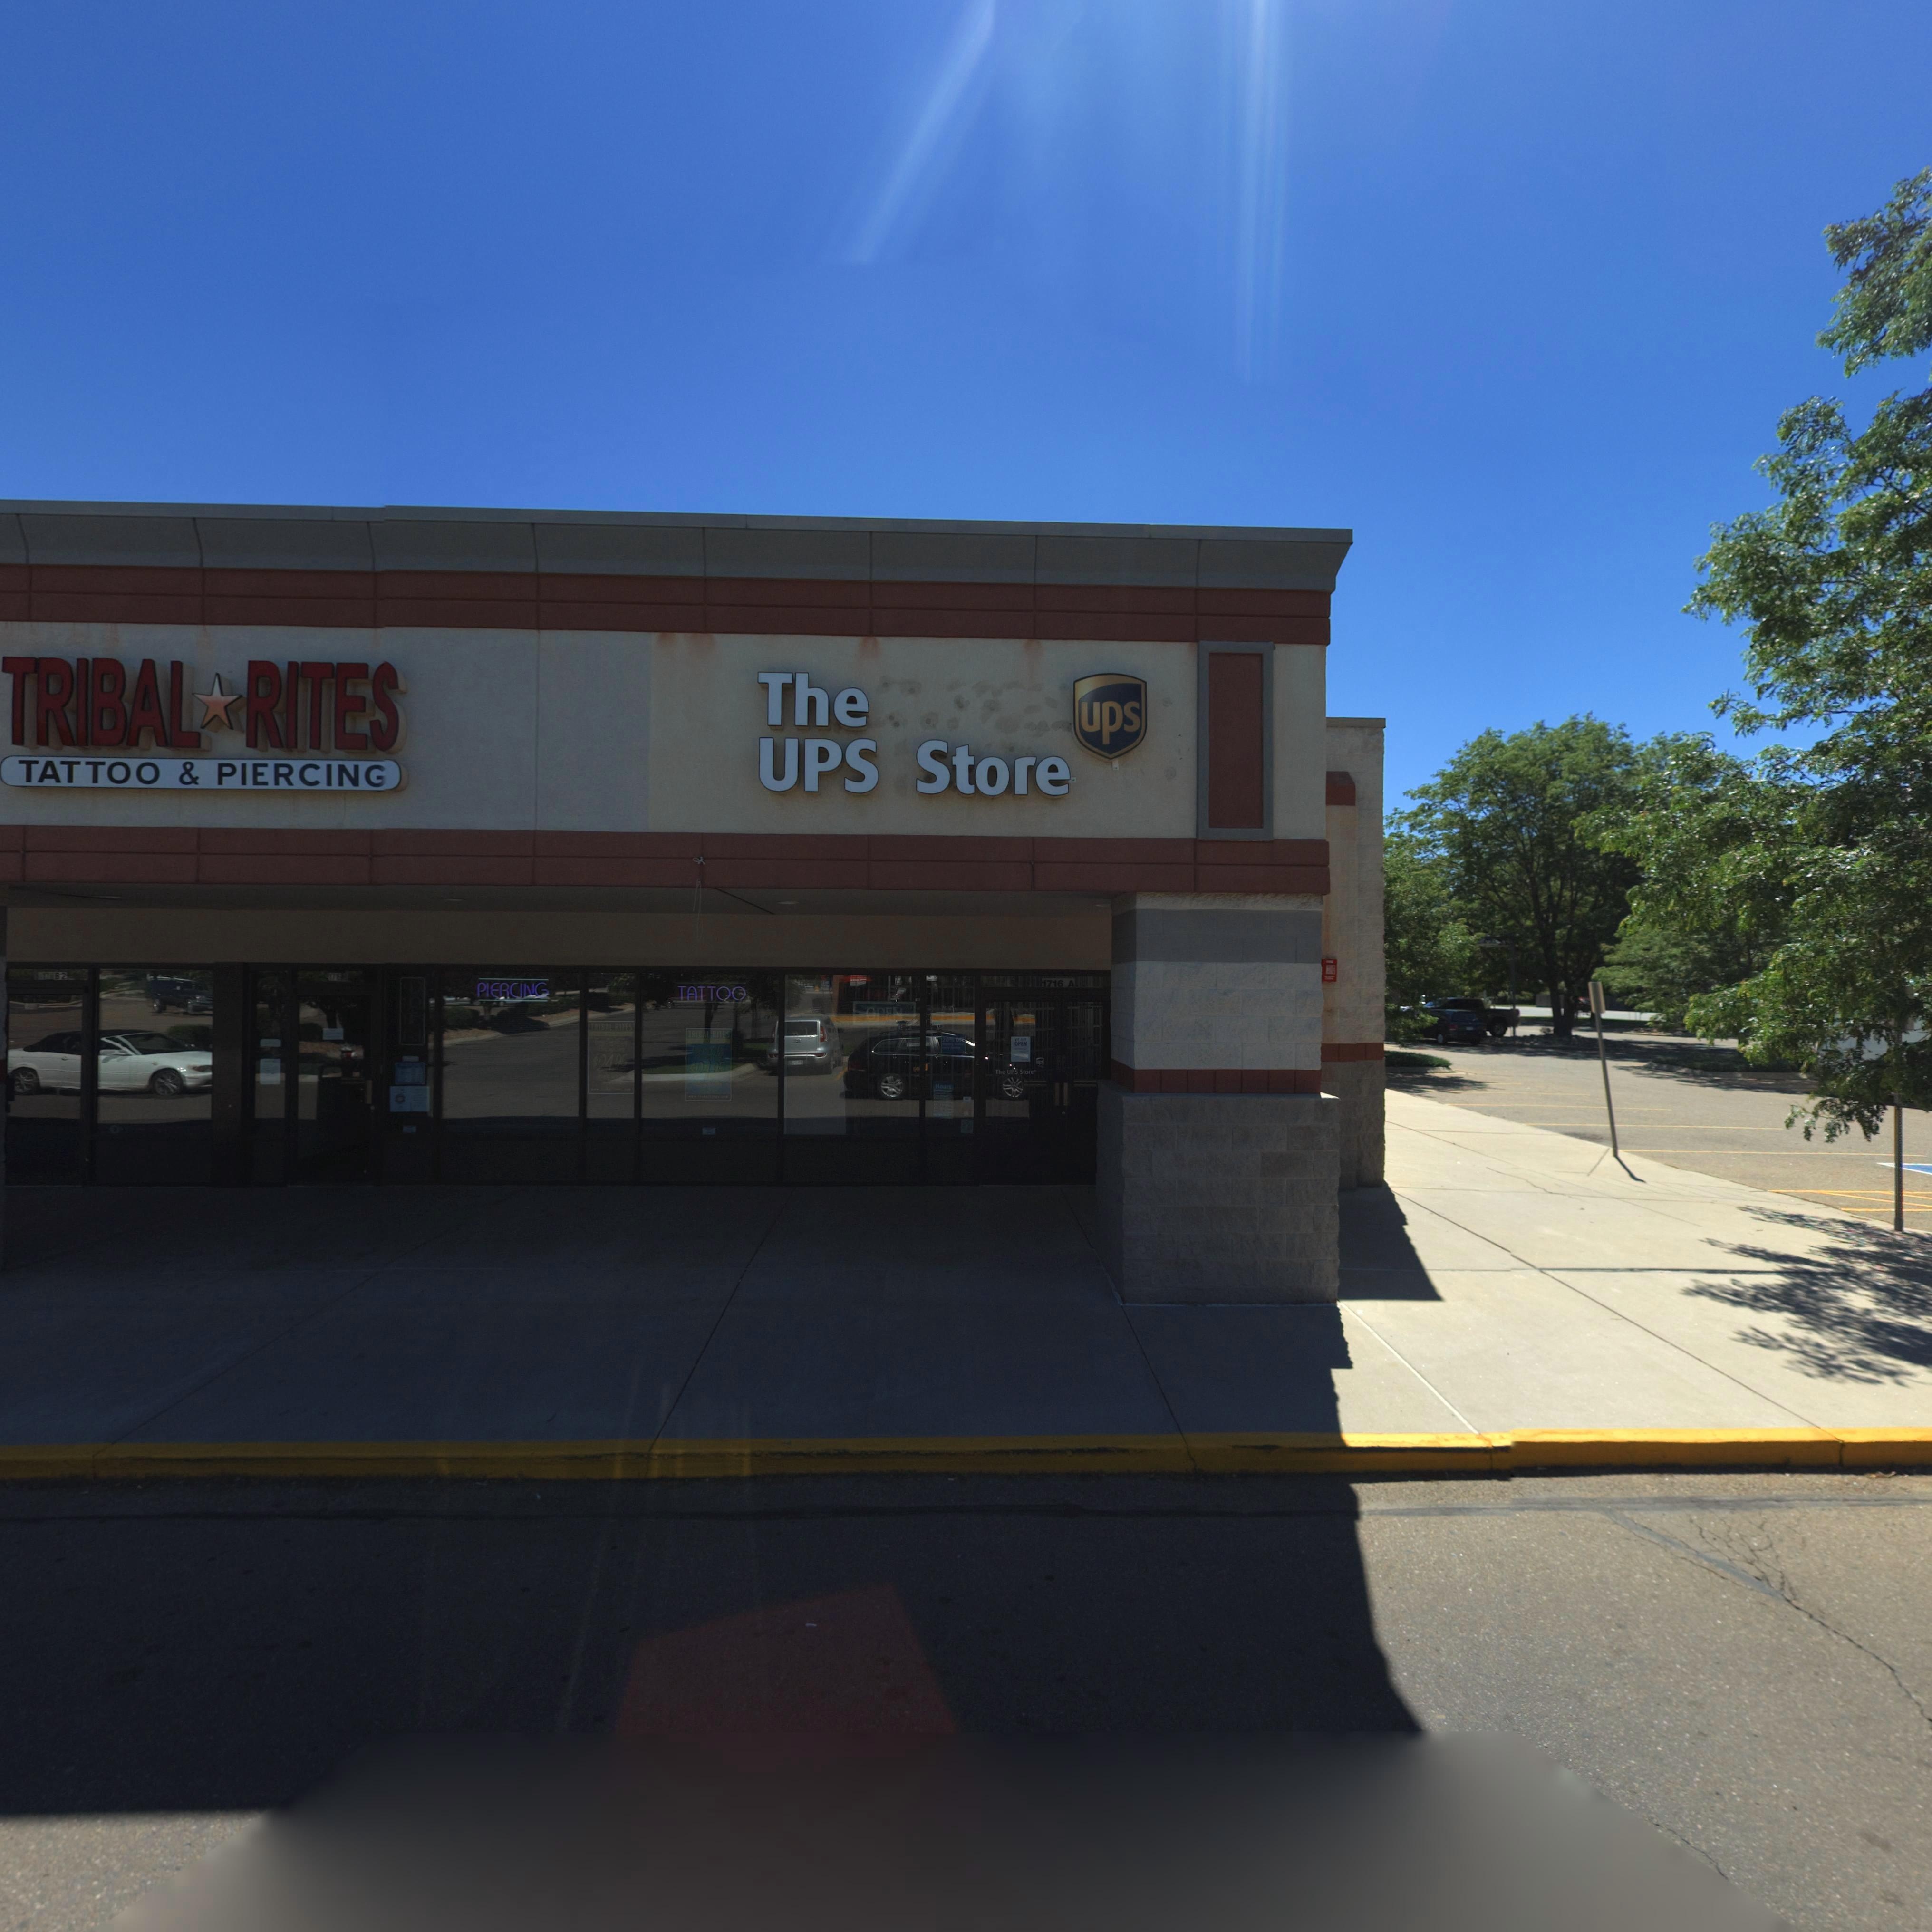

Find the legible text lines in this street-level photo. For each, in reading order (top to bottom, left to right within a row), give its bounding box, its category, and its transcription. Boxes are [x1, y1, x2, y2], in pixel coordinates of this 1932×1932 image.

[2, 655, 400, 753] BusinessName: TRIBAL*RITES
[757, 670, 869, 728] BusinessName: The
[1081, 700, 1141, 745] BusinessName: ups
[759, 737, 1070, 795] BusinessName: UPS Store
[41, 971, 67, 980] StreetNumber: 17** B2
[328, 973, 349, 982] StreetNumber: 1716 *
[1041, 979, 1075, 988] StreetNumber: 1716 A